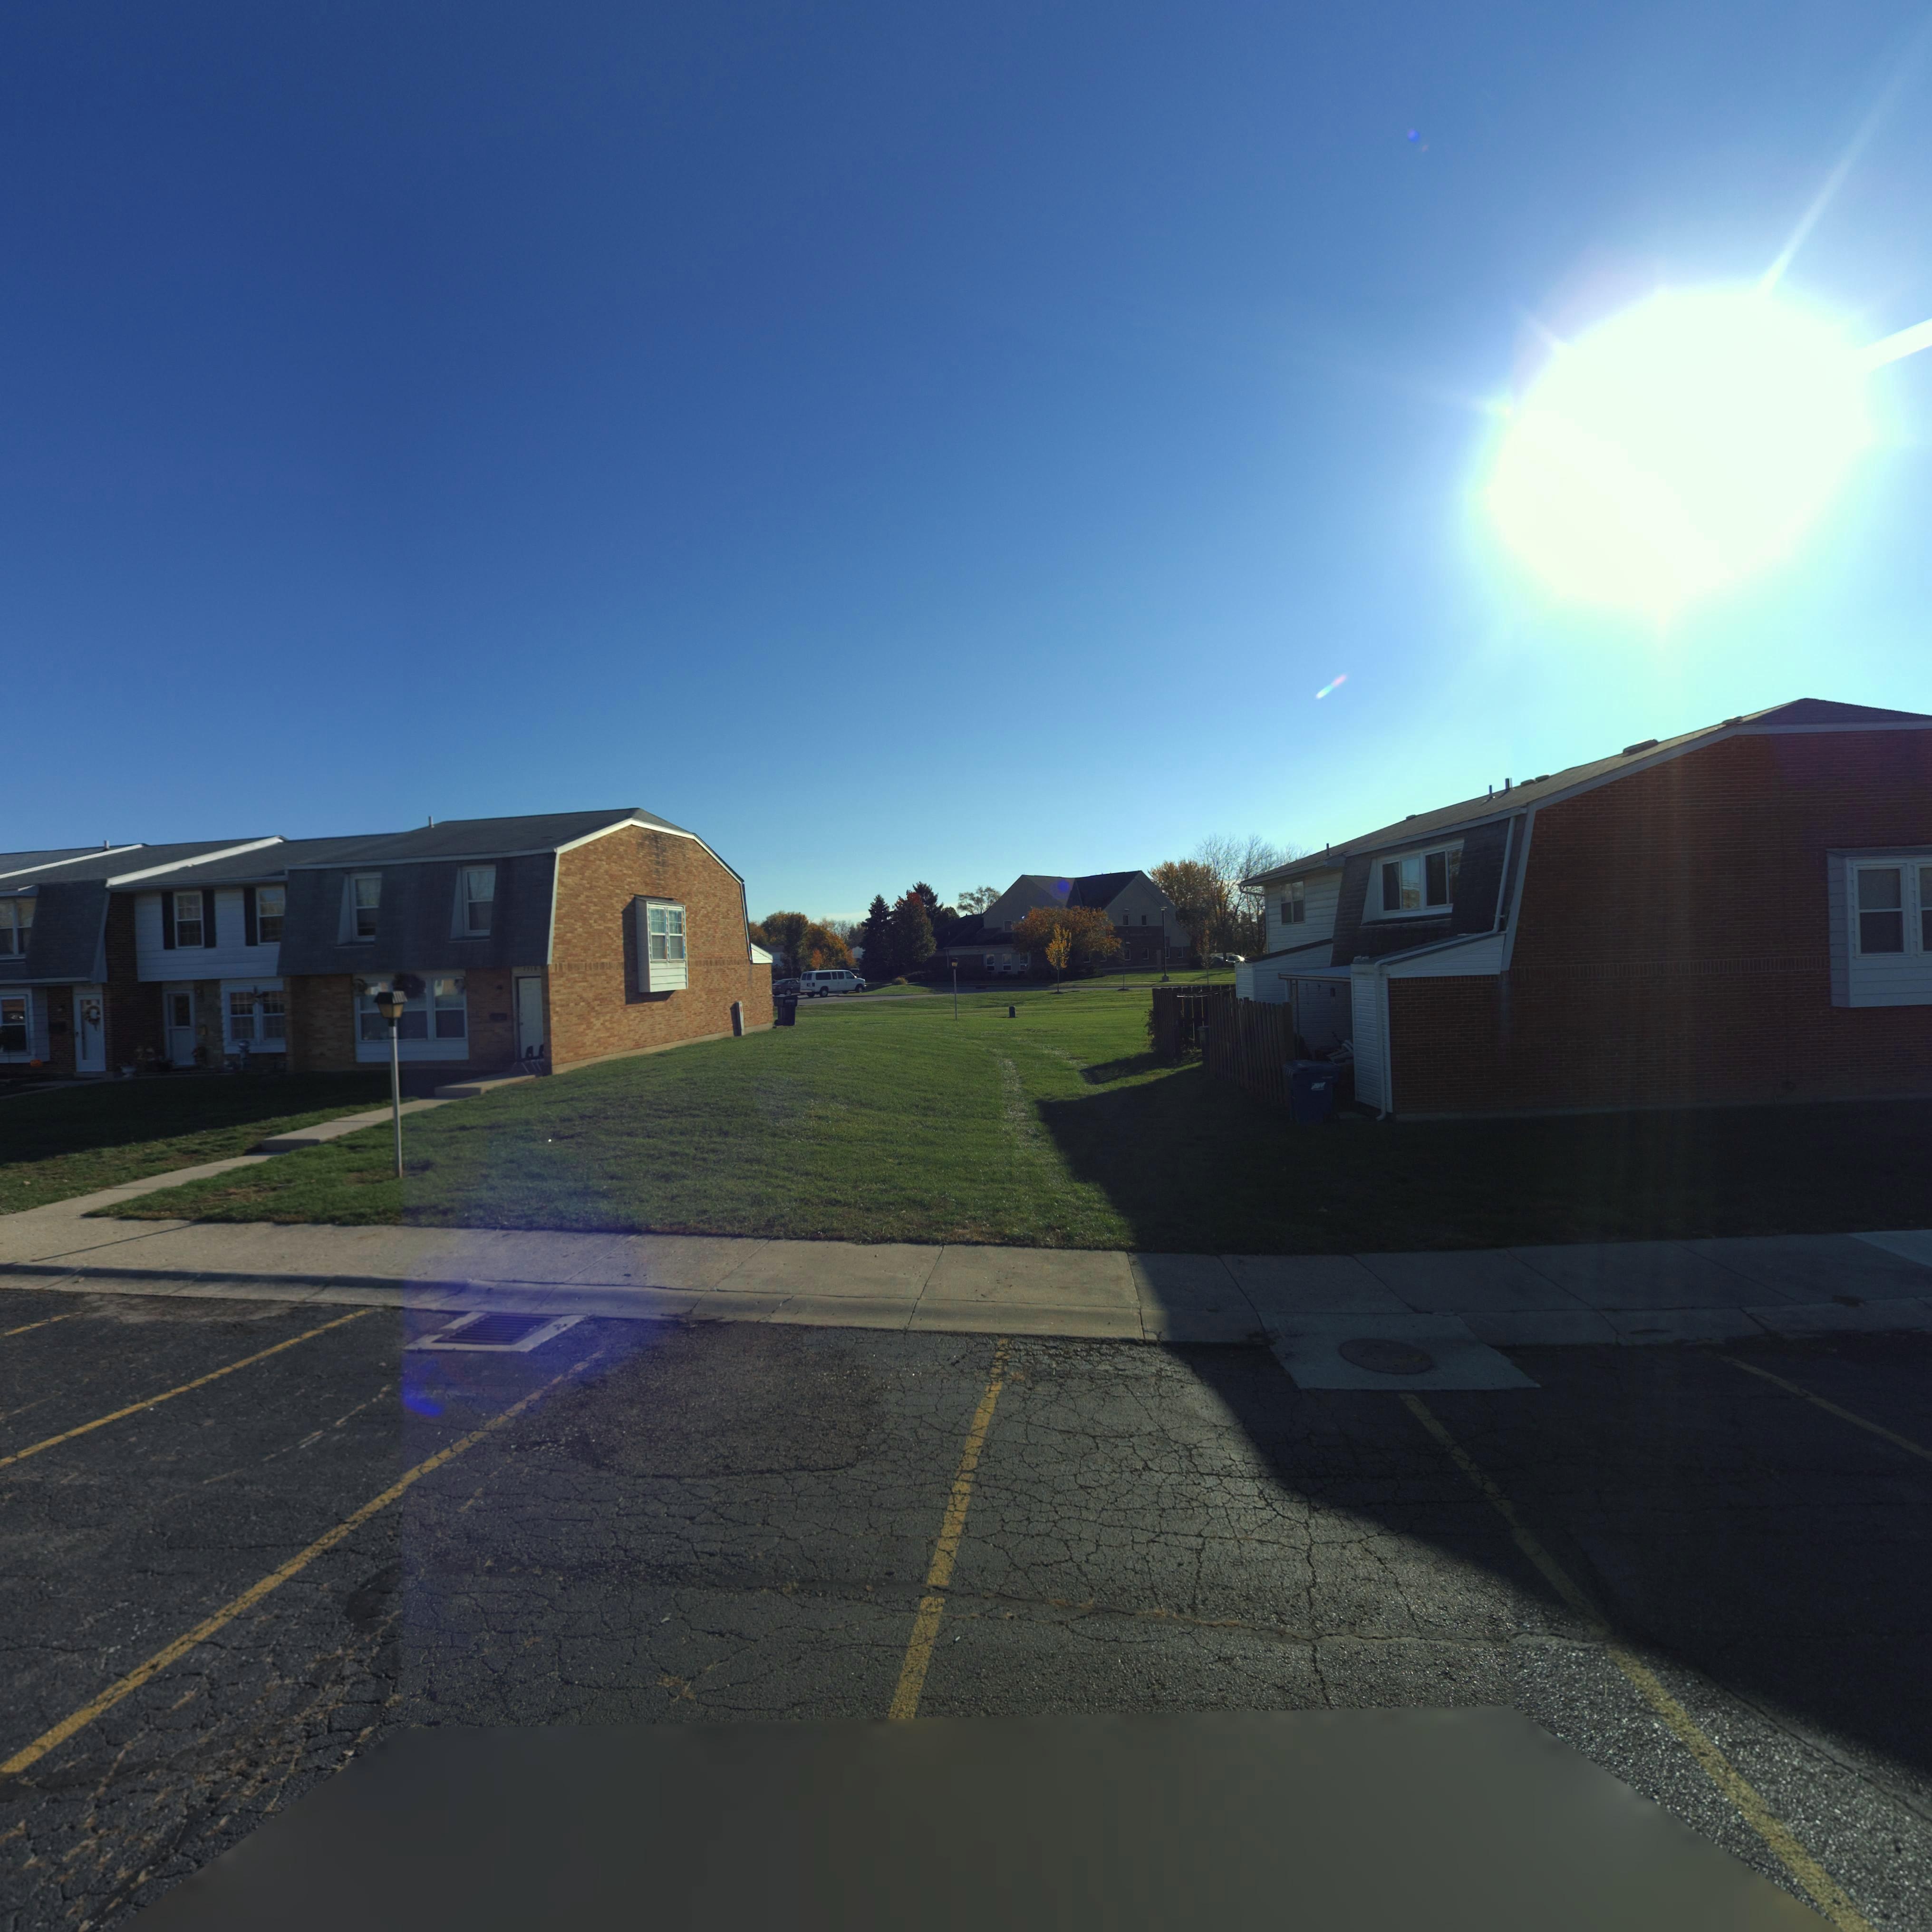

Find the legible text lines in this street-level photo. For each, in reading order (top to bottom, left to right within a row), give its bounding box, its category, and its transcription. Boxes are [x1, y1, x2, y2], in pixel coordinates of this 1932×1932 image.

[522, 966, 538, 971] StreetNumber: 751*
[80, 984, 94, 989] StreetNumber: 7***